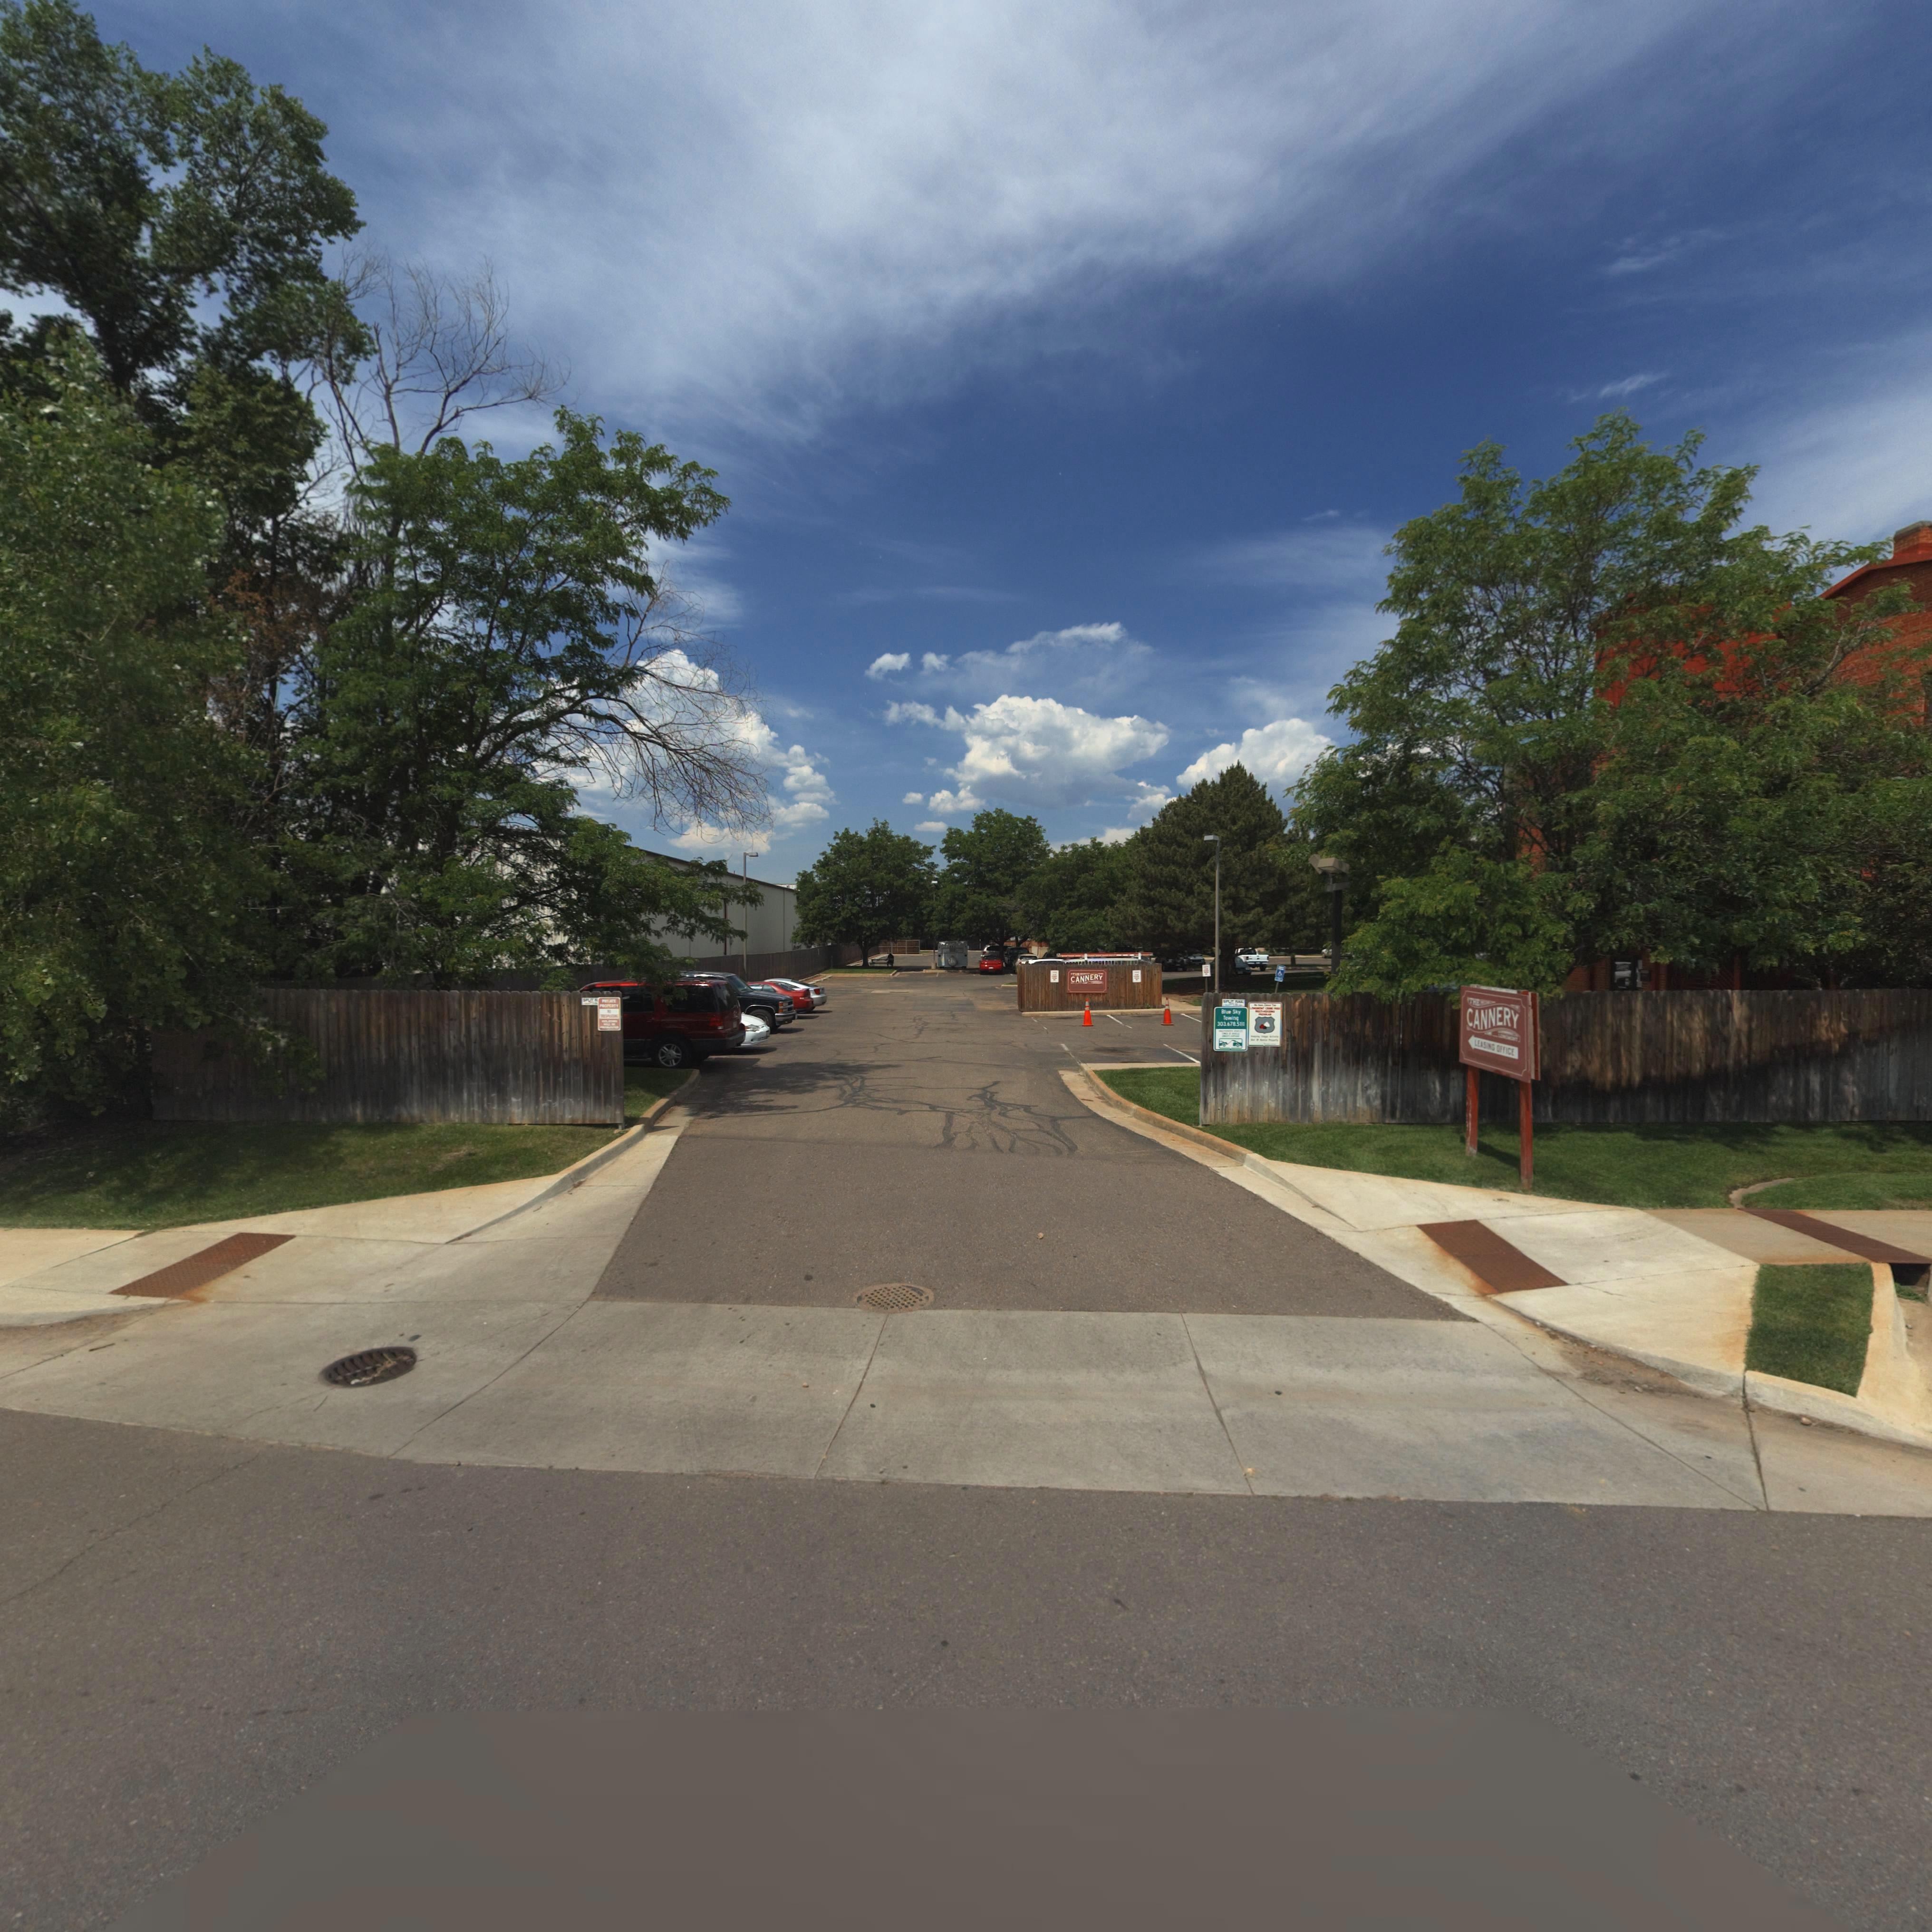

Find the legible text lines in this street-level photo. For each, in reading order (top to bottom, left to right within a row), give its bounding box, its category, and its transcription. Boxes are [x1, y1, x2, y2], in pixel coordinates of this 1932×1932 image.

[1072, 972, 1079, 976] BusinessName: TH*
[1070, 973, 1103, 983] BusinessName: CANNERY
[1468, 997, 1480, 1006] BusinessName: THE
[1466, 1006, 1519, 1030] BusinessName: CANNERY